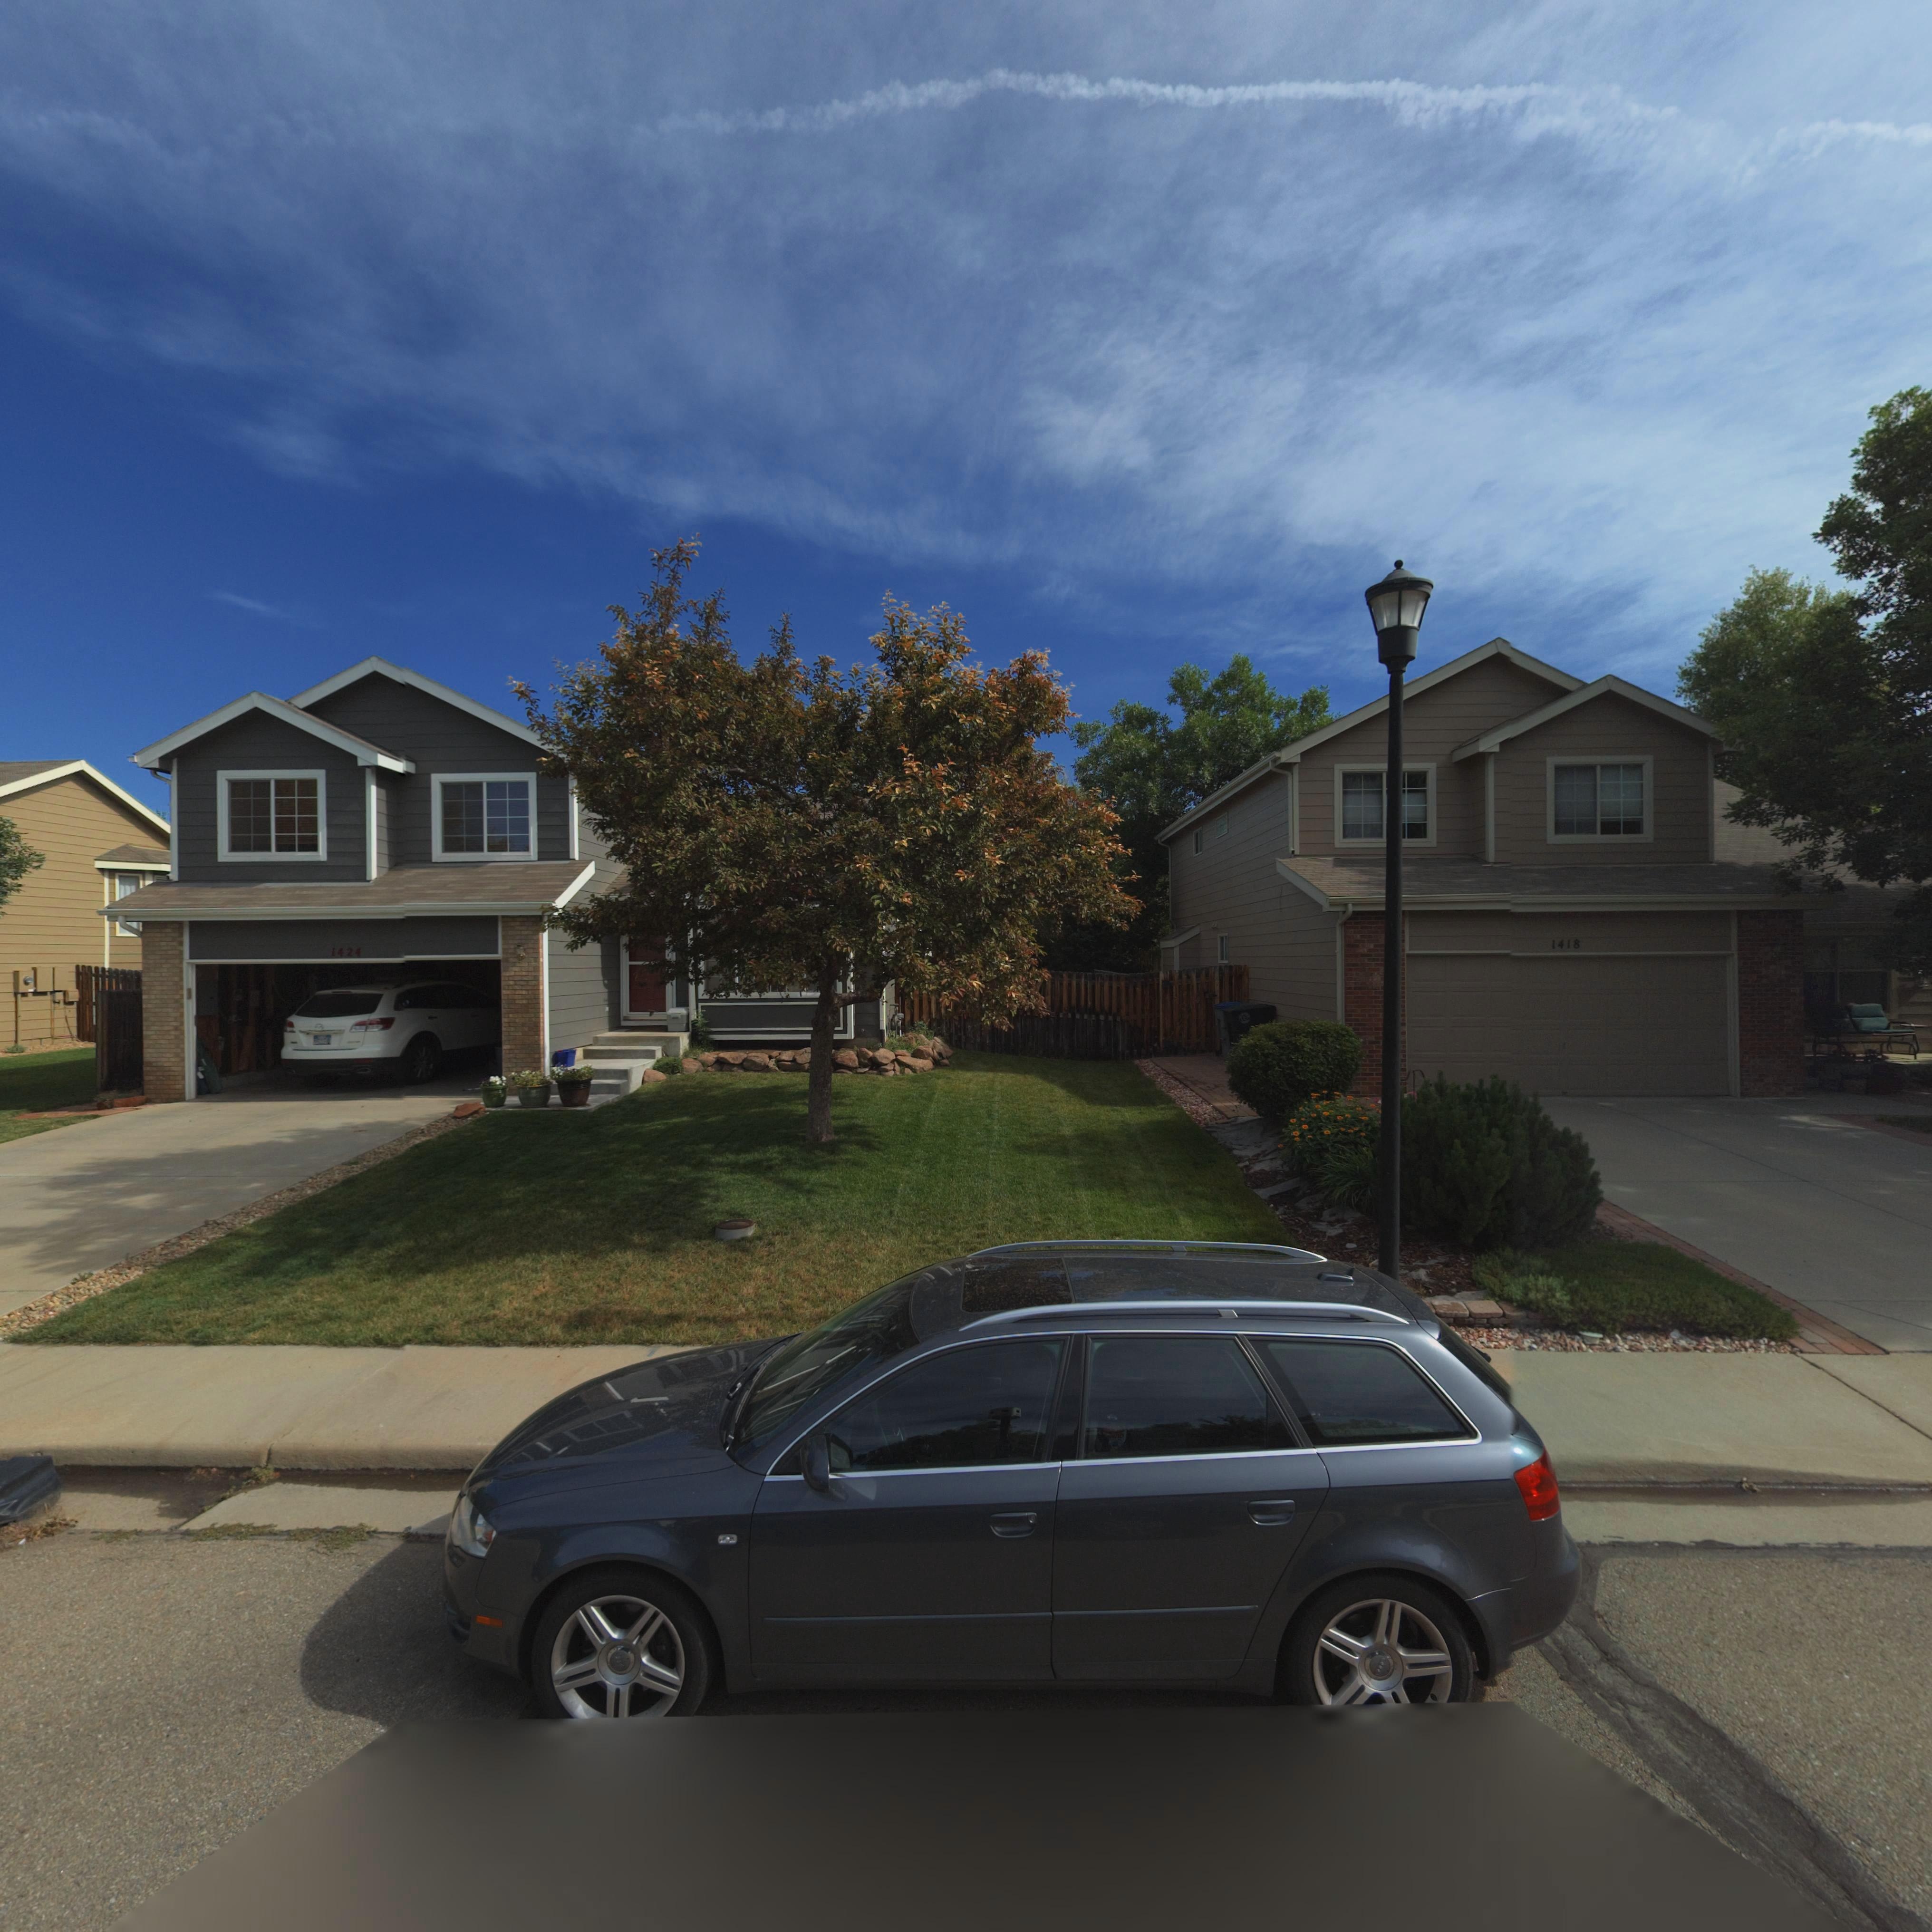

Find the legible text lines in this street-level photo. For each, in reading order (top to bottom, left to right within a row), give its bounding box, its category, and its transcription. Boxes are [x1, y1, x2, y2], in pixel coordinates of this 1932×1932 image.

[1551, 937, 1580, 949] StreetNumber: 1418
[331, 946, 361, 957] StreetNumber: 1424